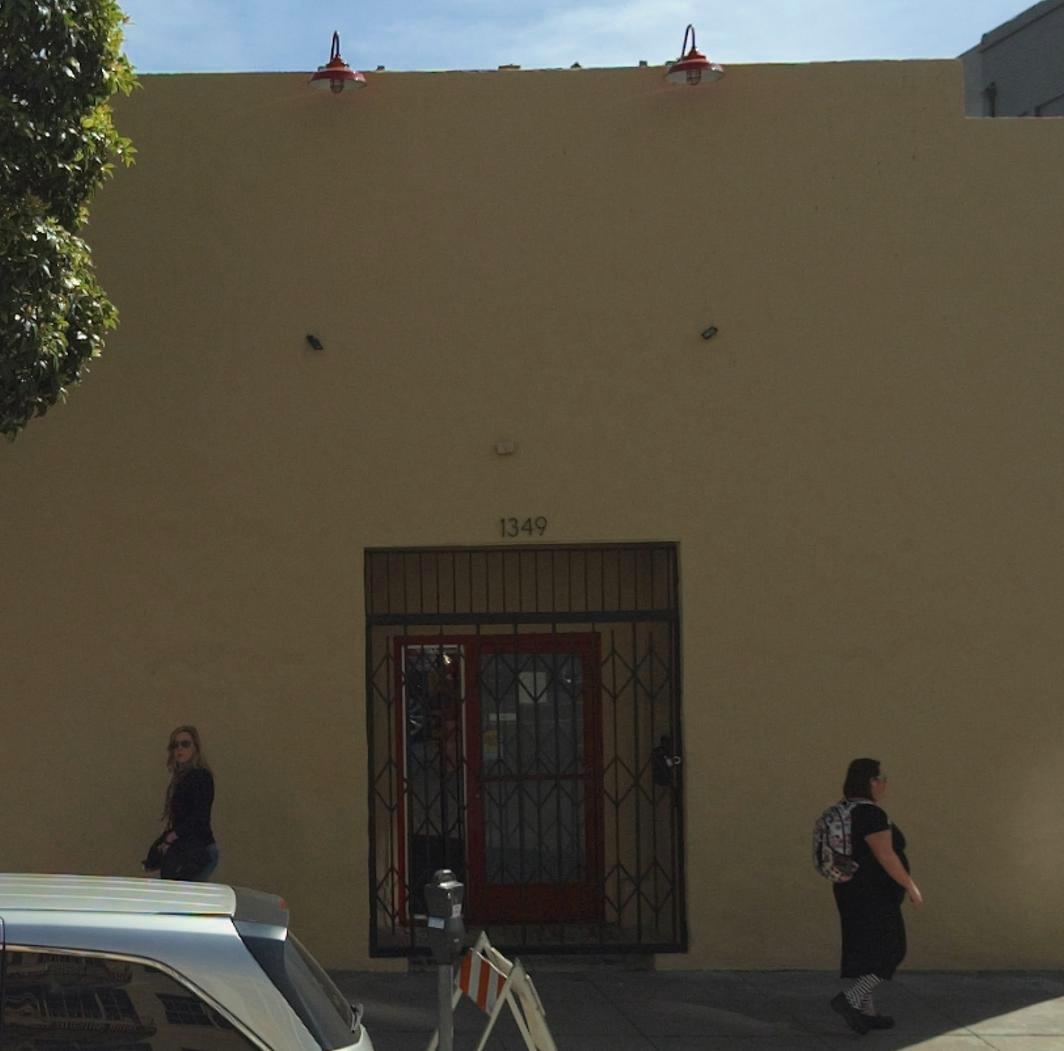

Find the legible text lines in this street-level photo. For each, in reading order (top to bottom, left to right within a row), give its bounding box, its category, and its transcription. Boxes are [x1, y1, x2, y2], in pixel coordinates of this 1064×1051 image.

[496, 513, 551, 540] StreetNumber: 1349